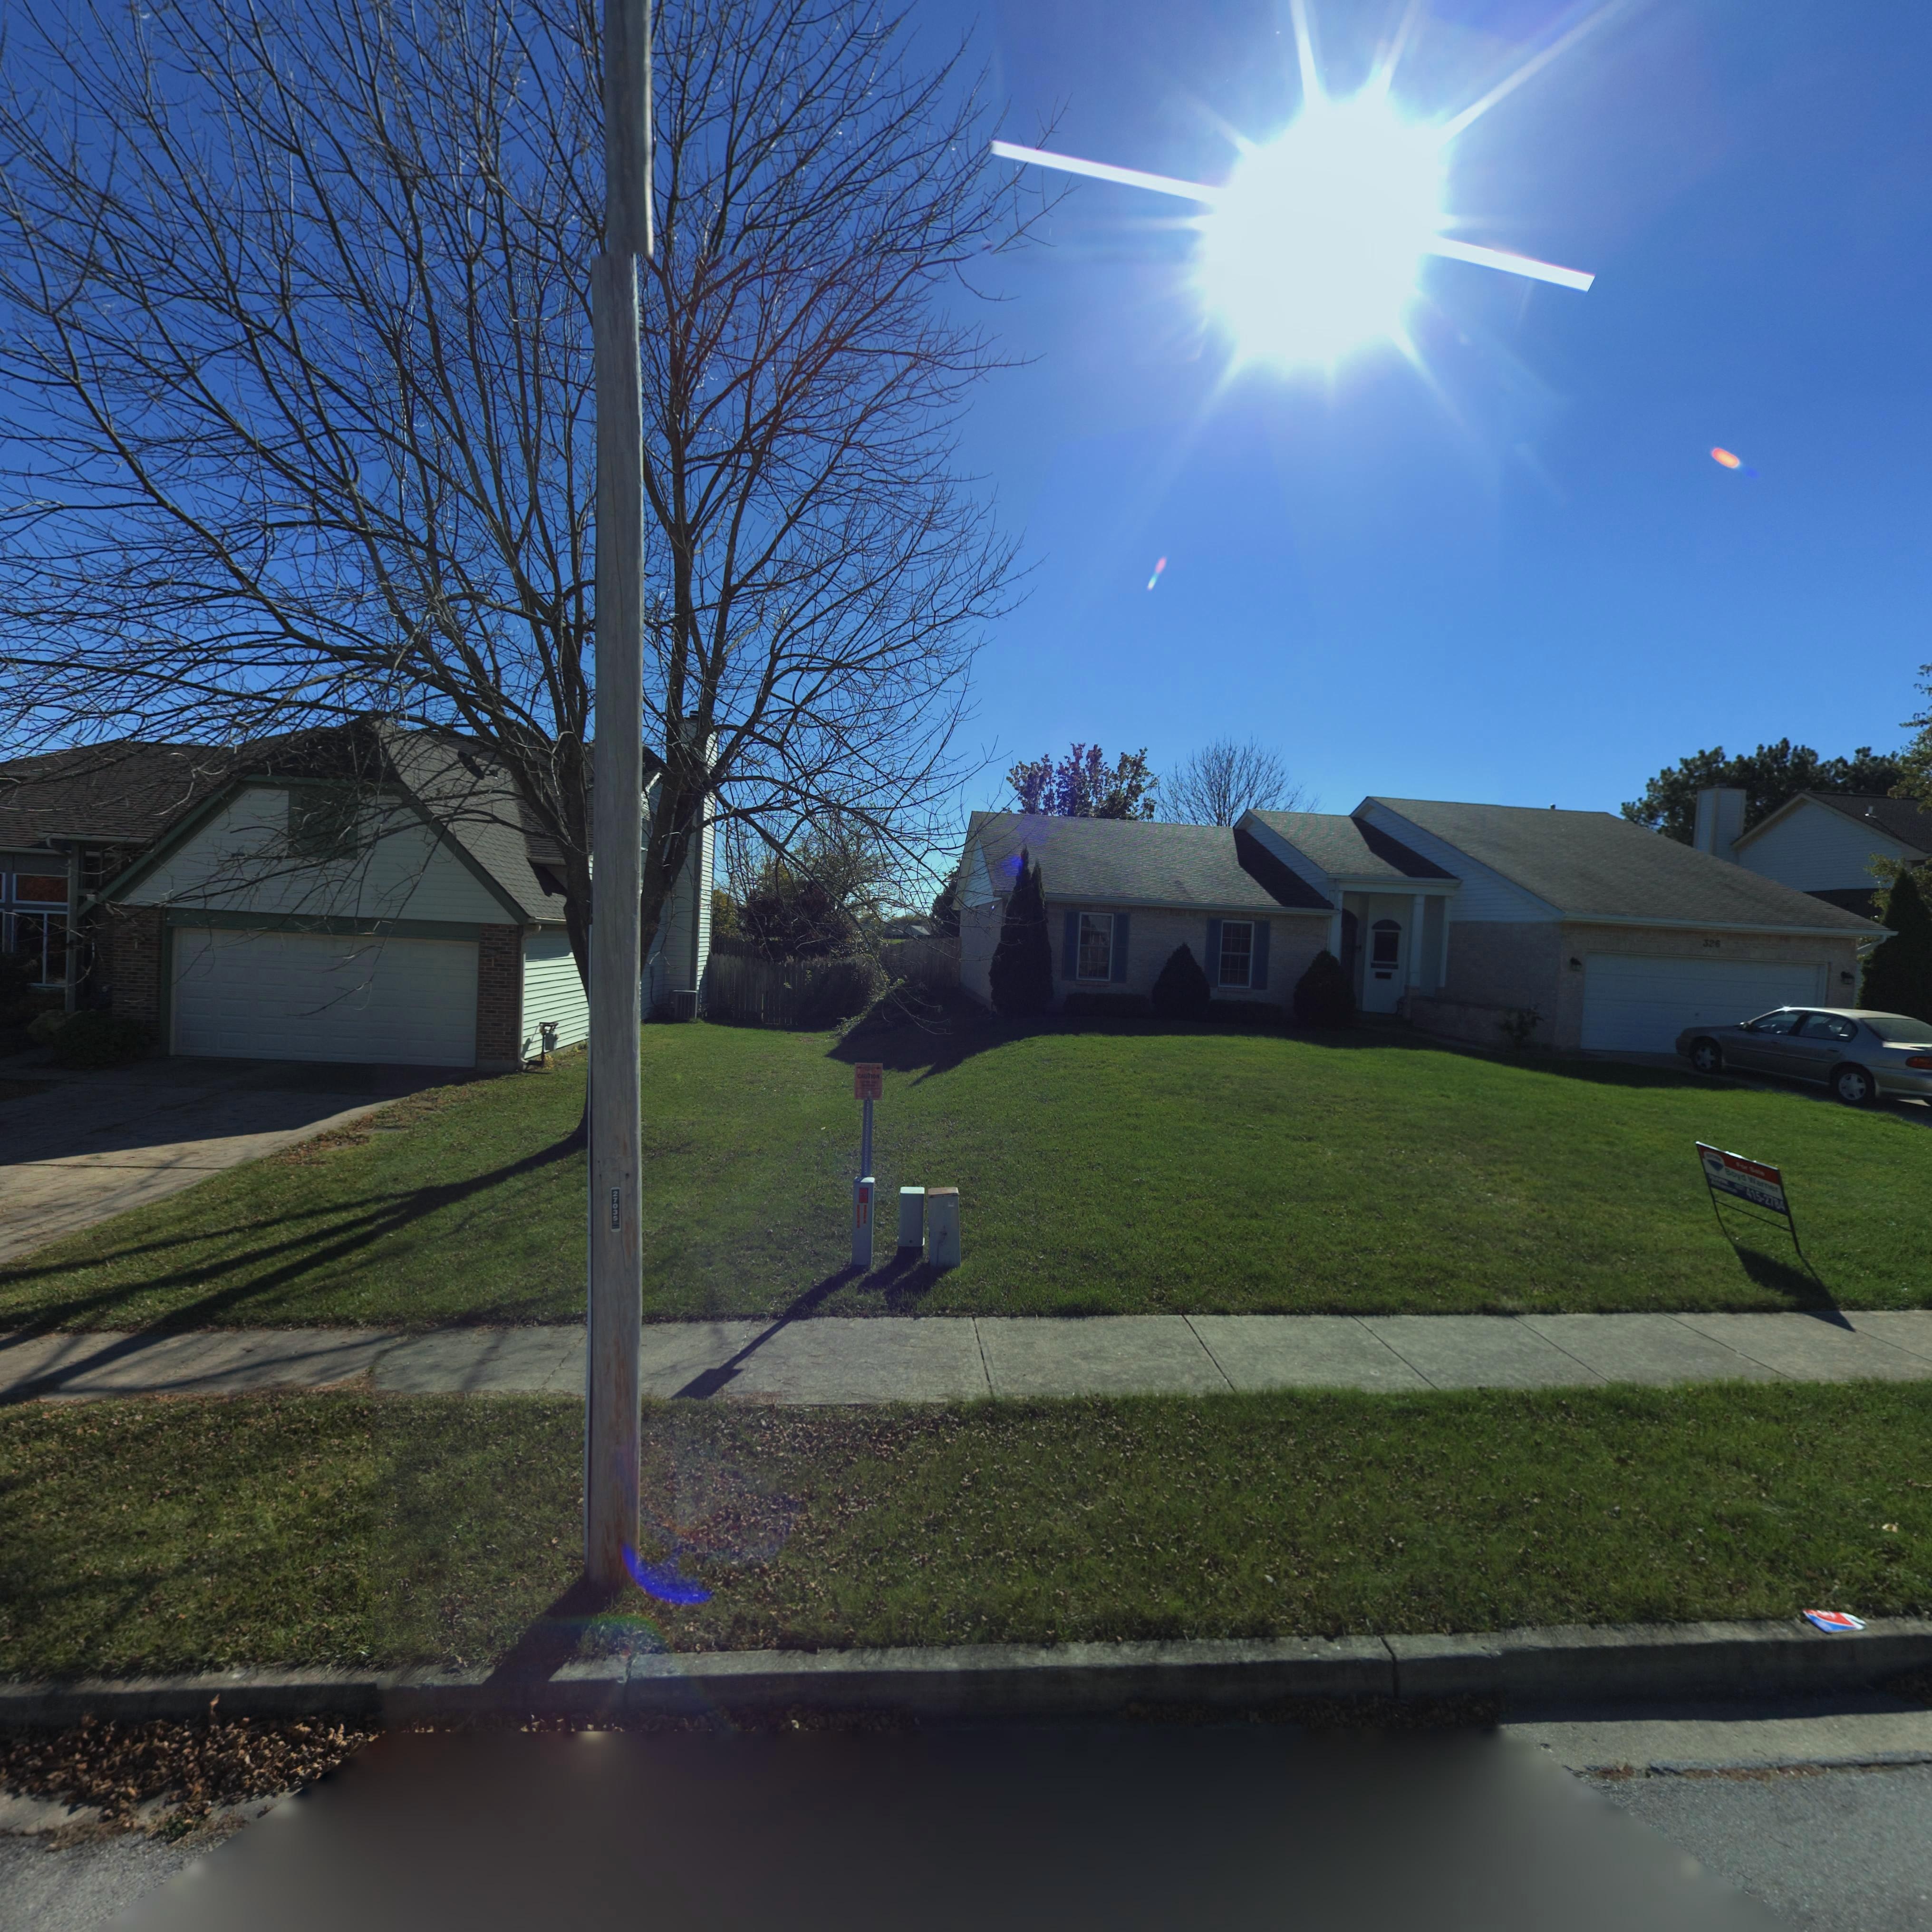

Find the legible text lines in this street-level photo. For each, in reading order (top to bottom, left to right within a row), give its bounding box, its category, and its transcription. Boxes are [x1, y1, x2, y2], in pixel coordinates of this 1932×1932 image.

[1702, 938, 1721, 948] StreetNumber: 326